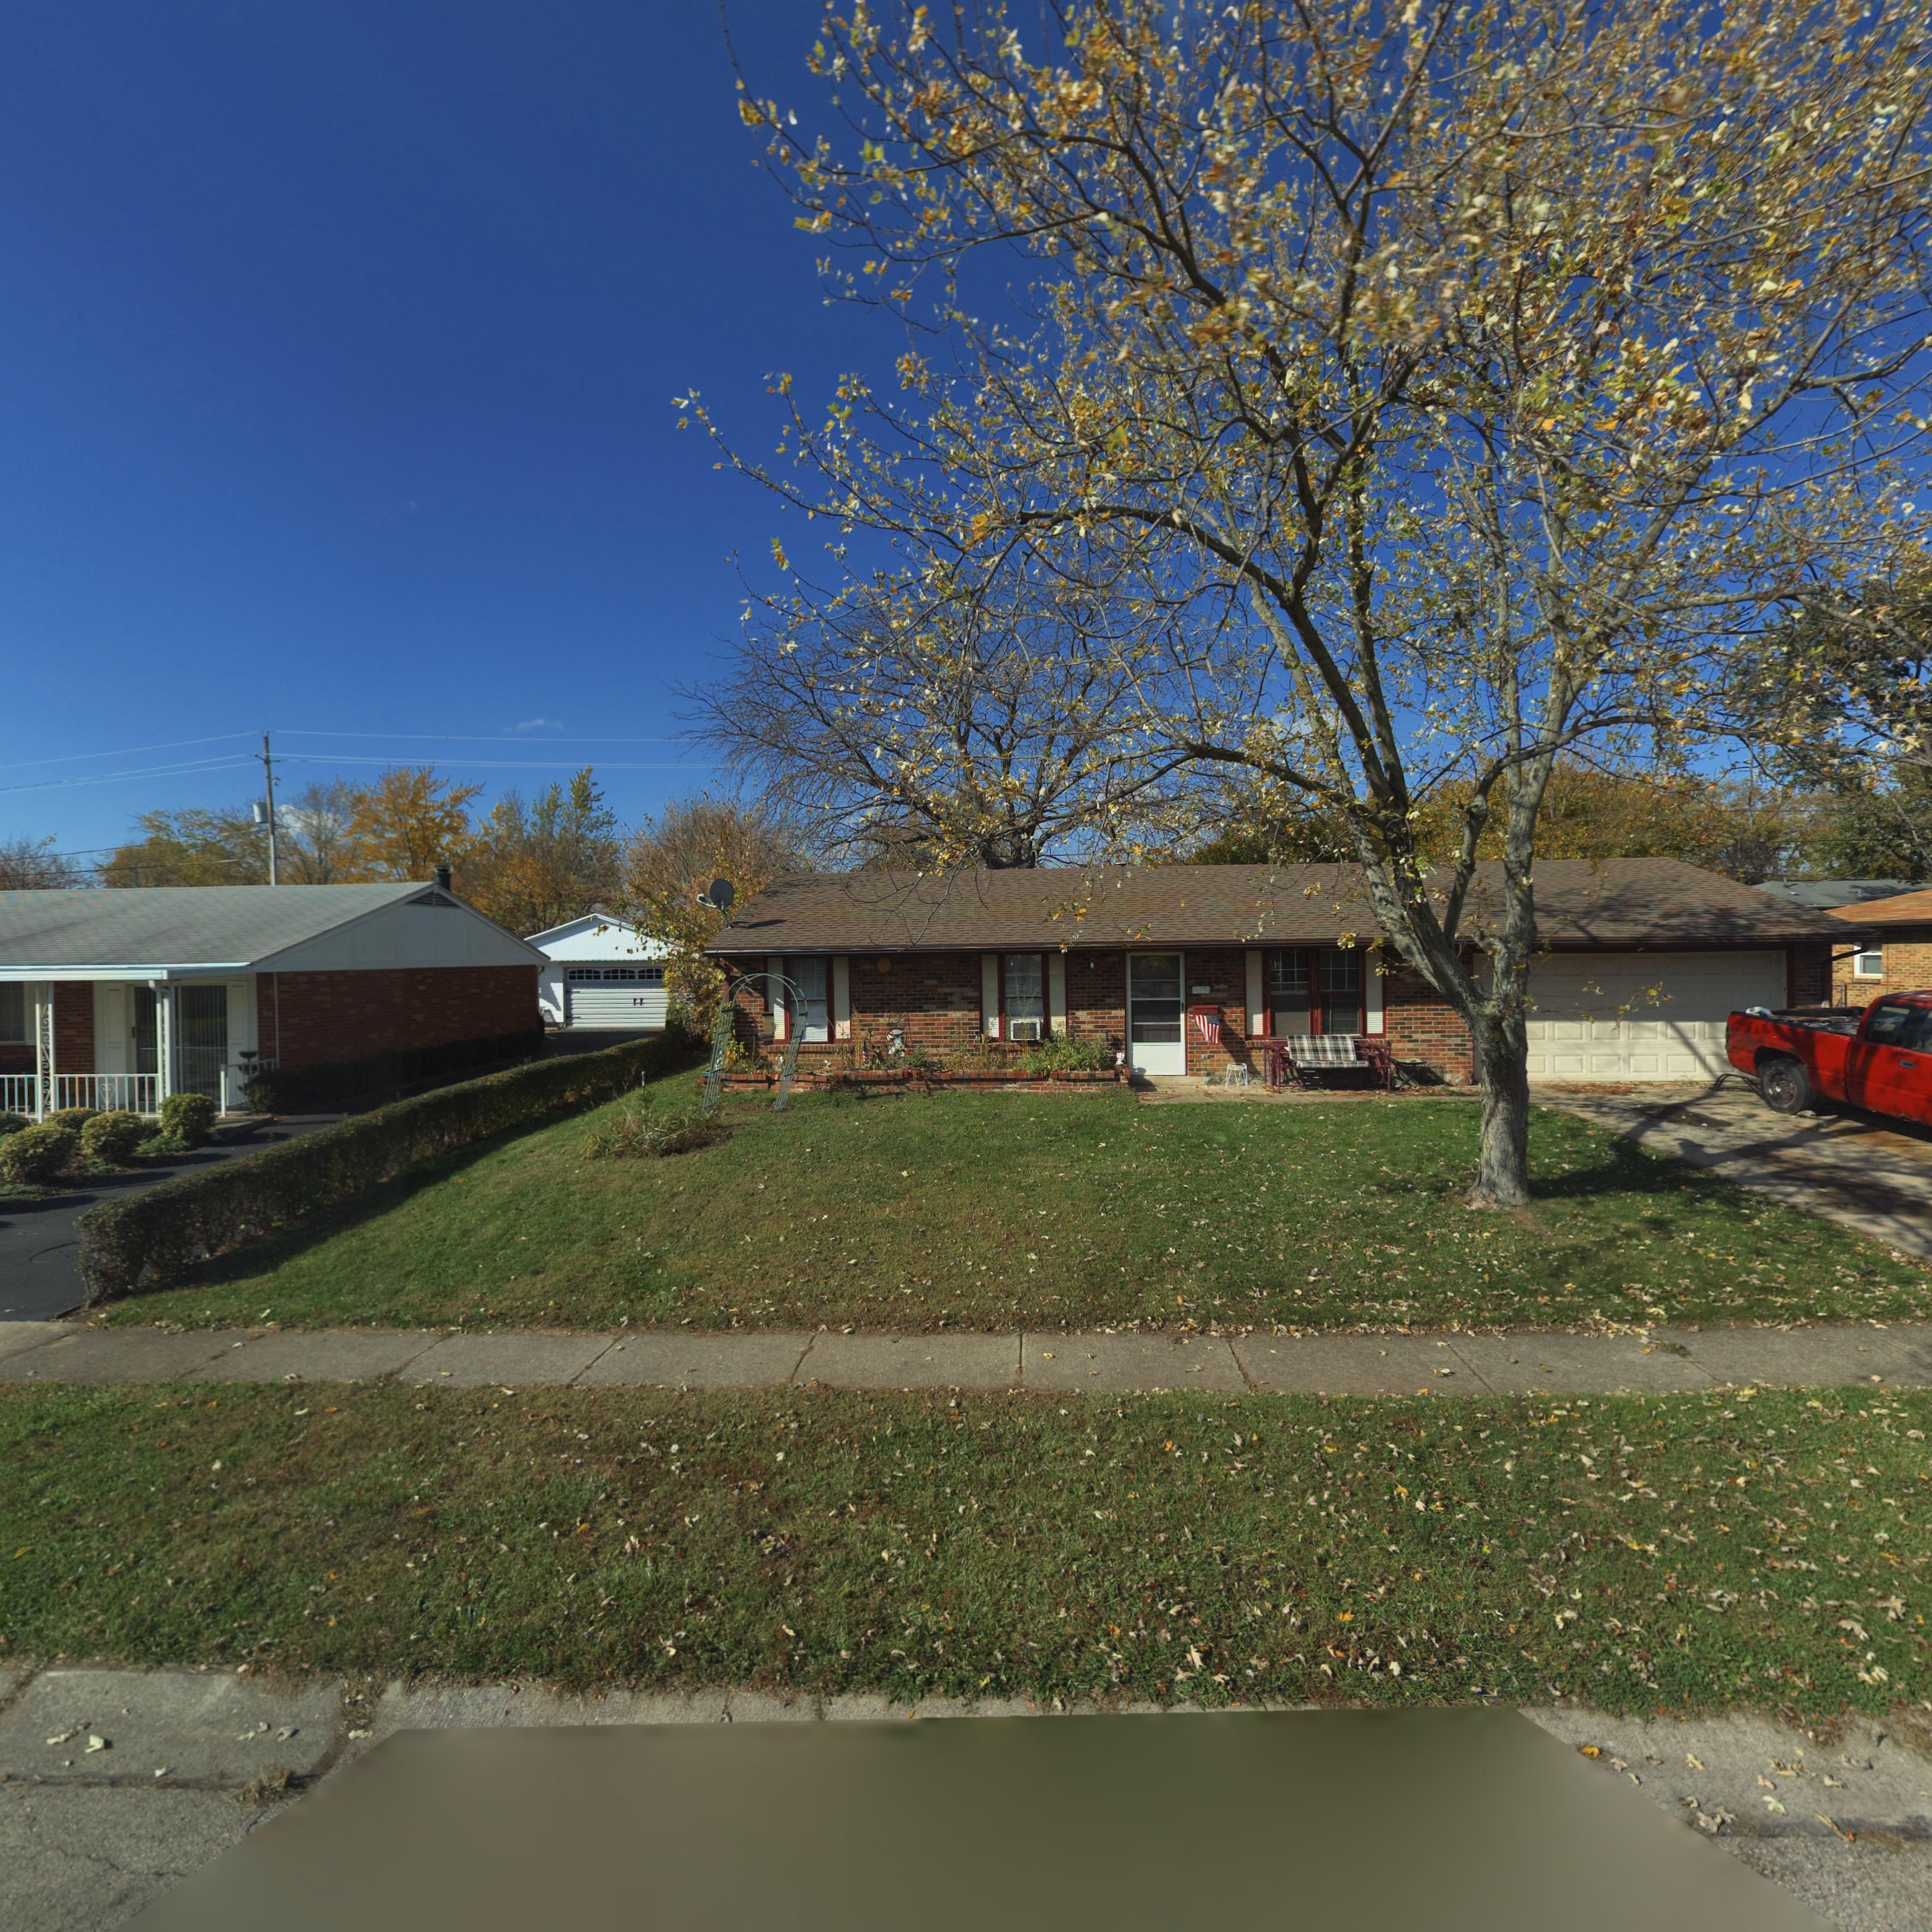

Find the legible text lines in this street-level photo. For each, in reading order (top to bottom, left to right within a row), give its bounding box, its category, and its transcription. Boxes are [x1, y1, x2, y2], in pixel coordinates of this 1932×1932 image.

[1196, 975, 1228, 988] StreetNumber: 7701